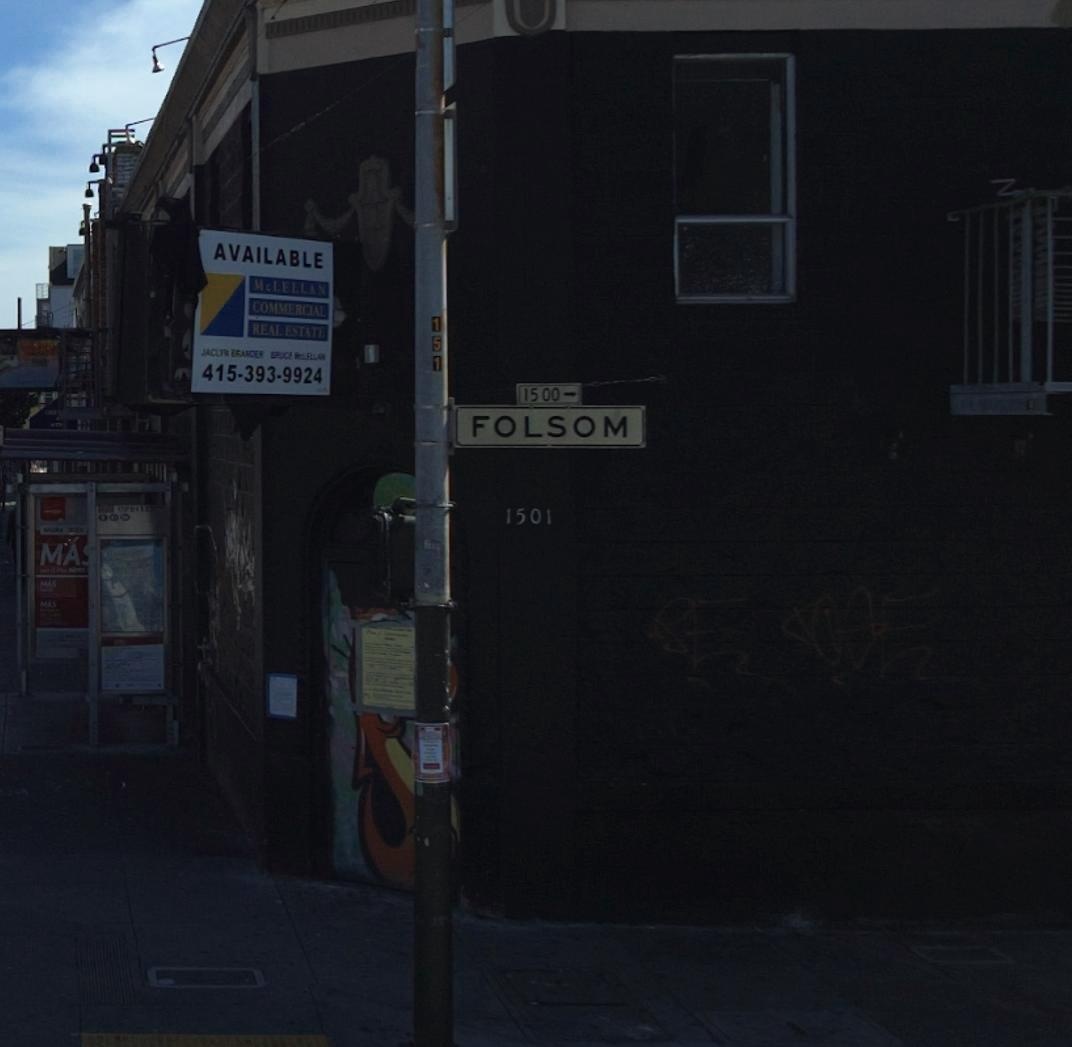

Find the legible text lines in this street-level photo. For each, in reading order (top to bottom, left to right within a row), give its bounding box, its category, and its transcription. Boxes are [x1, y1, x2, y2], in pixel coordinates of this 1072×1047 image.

[211, 239, 325, 273] None: AVAILABLE
[251, 275, 330, 297] None: McLELLAN
[250, 298, 330, 319] None: COMMERCIAL
[250, 321, 327, 341] None: REAL ESTATE
[198, 346, 328, 364] None: JACLYN BRAN*** BRUCE McLELLAN
[430, 315, 443, 374] None: 151
[199, 360, 325, 388] None: 415-393-9924
[520, 384, 580, 405] SecondaryUnitDesignator: 1500 ->
[467, 411, 633, 442] StreetName: FOLSOM
[502, 504, 556, 530] StreetNumber: 1501
[36, 540, 85, 569] None: MA